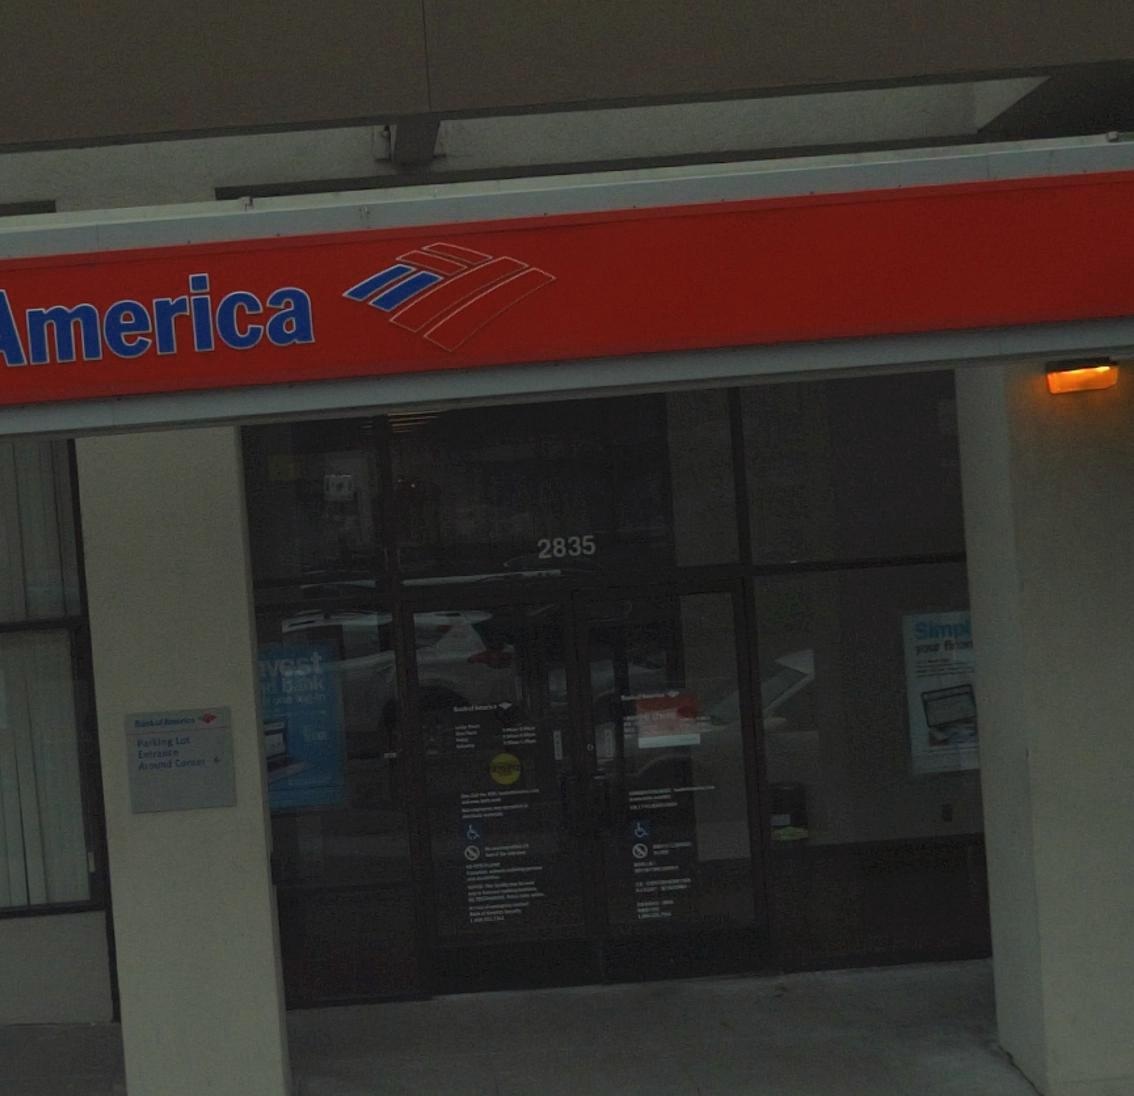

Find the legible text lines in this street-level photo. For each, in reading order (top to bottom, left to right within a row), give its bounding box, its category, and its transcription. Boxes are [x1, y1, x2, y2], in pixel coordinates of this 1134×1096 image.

[23, 270, 316, 368] BusinessName: merica
[534, 533, 597, 560] StreetNumber: 2835
[913, 619, 967, 643] None: Simp
[912, 641, 942, 657] None: your
[262, 650, 326, 680] None: vest
[264, 673, 327, 696] None: d bank
[137, 747, 180, 761] None: Entance
[135, 734, 192, 751] None: Parking Lot
[135, 755, 206, 773] None: Around Corner